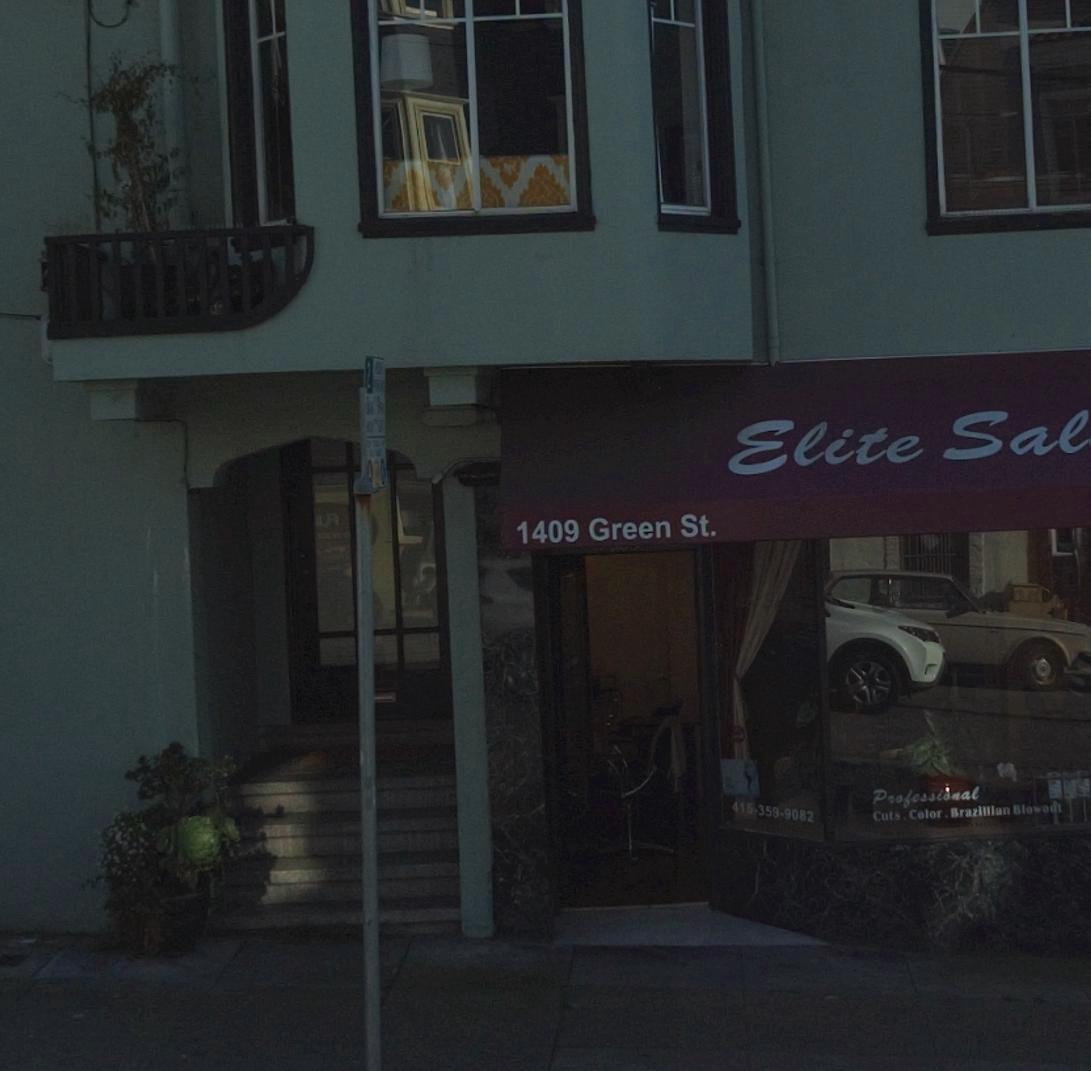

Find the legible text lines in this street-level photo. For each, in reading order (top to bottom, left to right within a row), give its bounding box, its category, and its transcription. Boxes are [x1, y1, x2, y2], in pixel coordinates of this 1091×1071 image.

[365, 361, 372, 390] None: 2
[725, 407, 1091, 477] BusinessName: Elite Sal
[513, 518, 581, 546] StreetNumber: 1409
[587, 512, 719, 542] StreetName: Green St.
[872, 784, 982, 809] None: Professional
[730, 800, 815, 824] None: 415-359-9082
[871, 799, 1062, 823] None: Cuts . Color. Brazilian Blowout